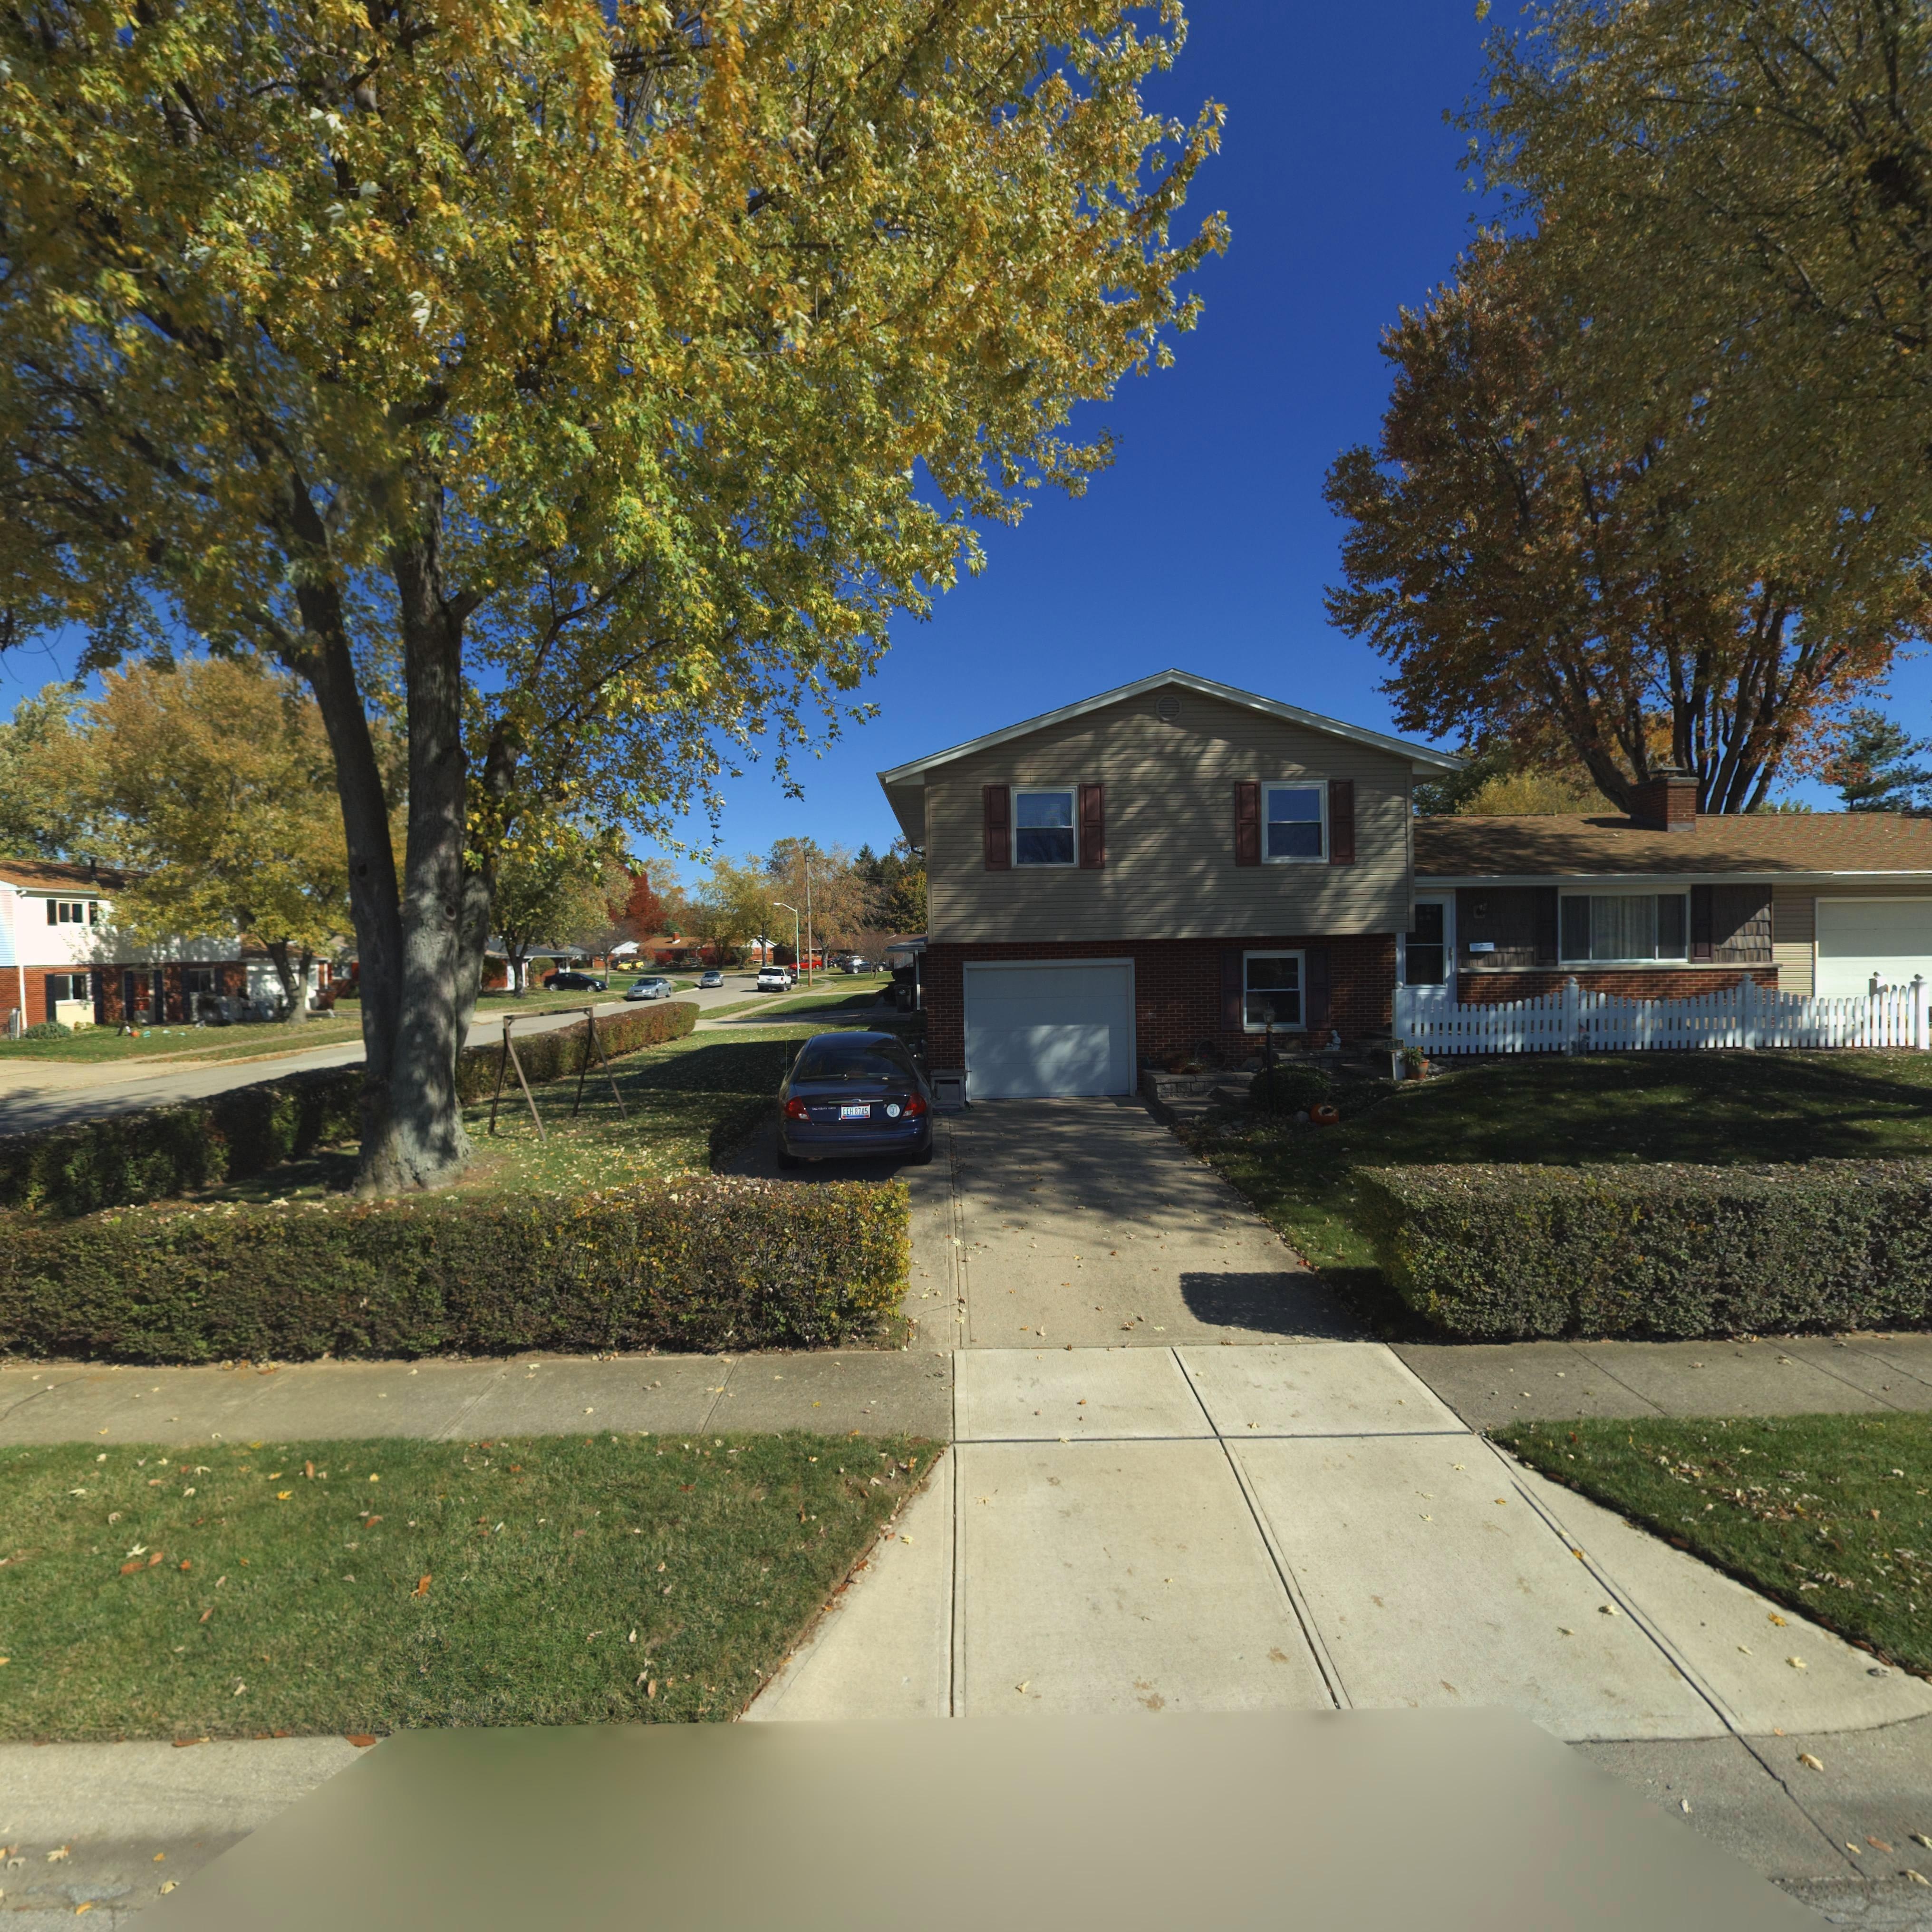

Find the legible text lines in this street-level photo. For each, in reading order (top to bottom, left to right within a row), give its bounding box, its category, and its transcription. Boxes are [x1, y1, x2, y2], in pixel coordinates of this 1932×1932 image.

[1386, 1041, 1401, 1050] StreetNumber: 716